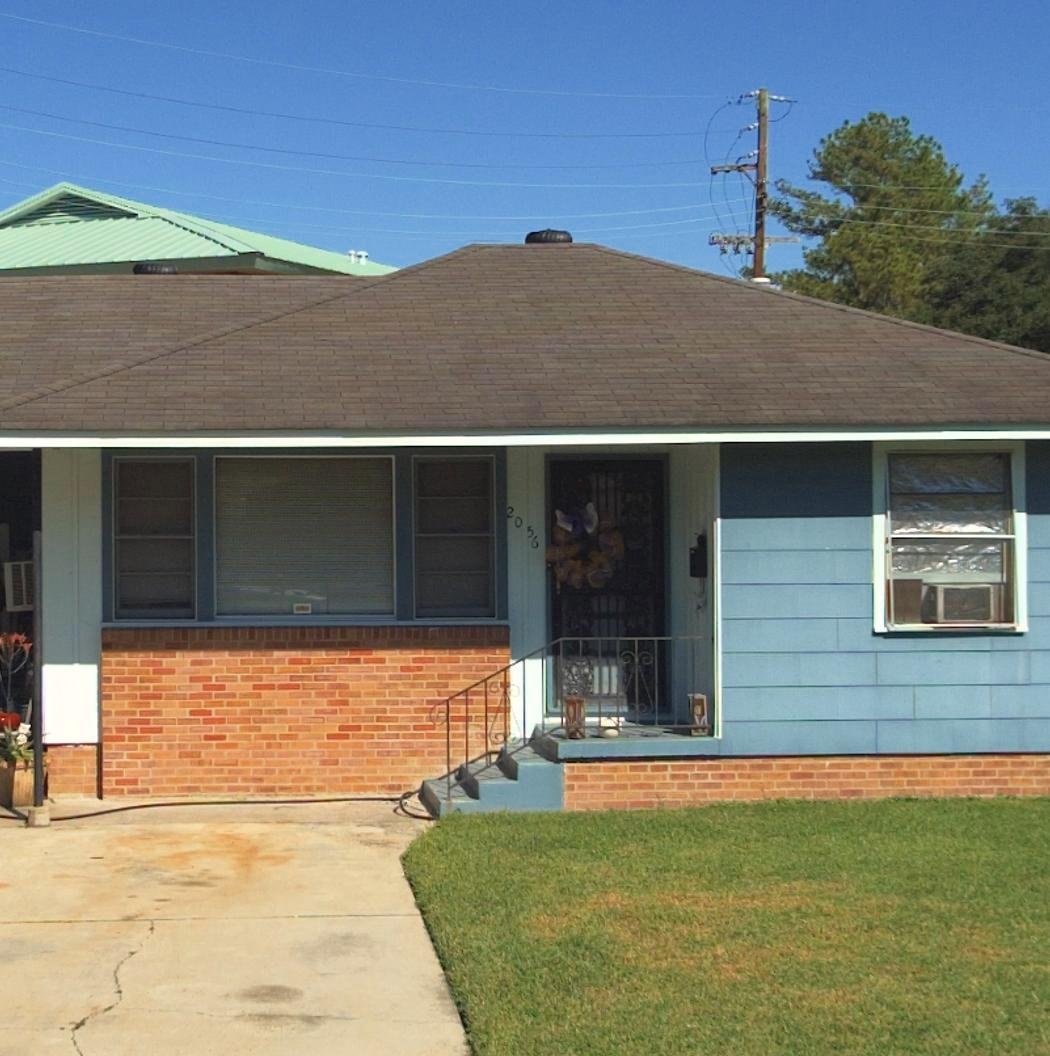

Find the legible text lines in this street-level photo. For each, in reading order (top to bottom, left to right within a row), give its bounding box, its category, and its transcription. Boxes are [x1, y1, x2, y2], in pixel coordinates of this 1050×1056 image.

[503, 501, 540, 552] StreetNumber: 2056